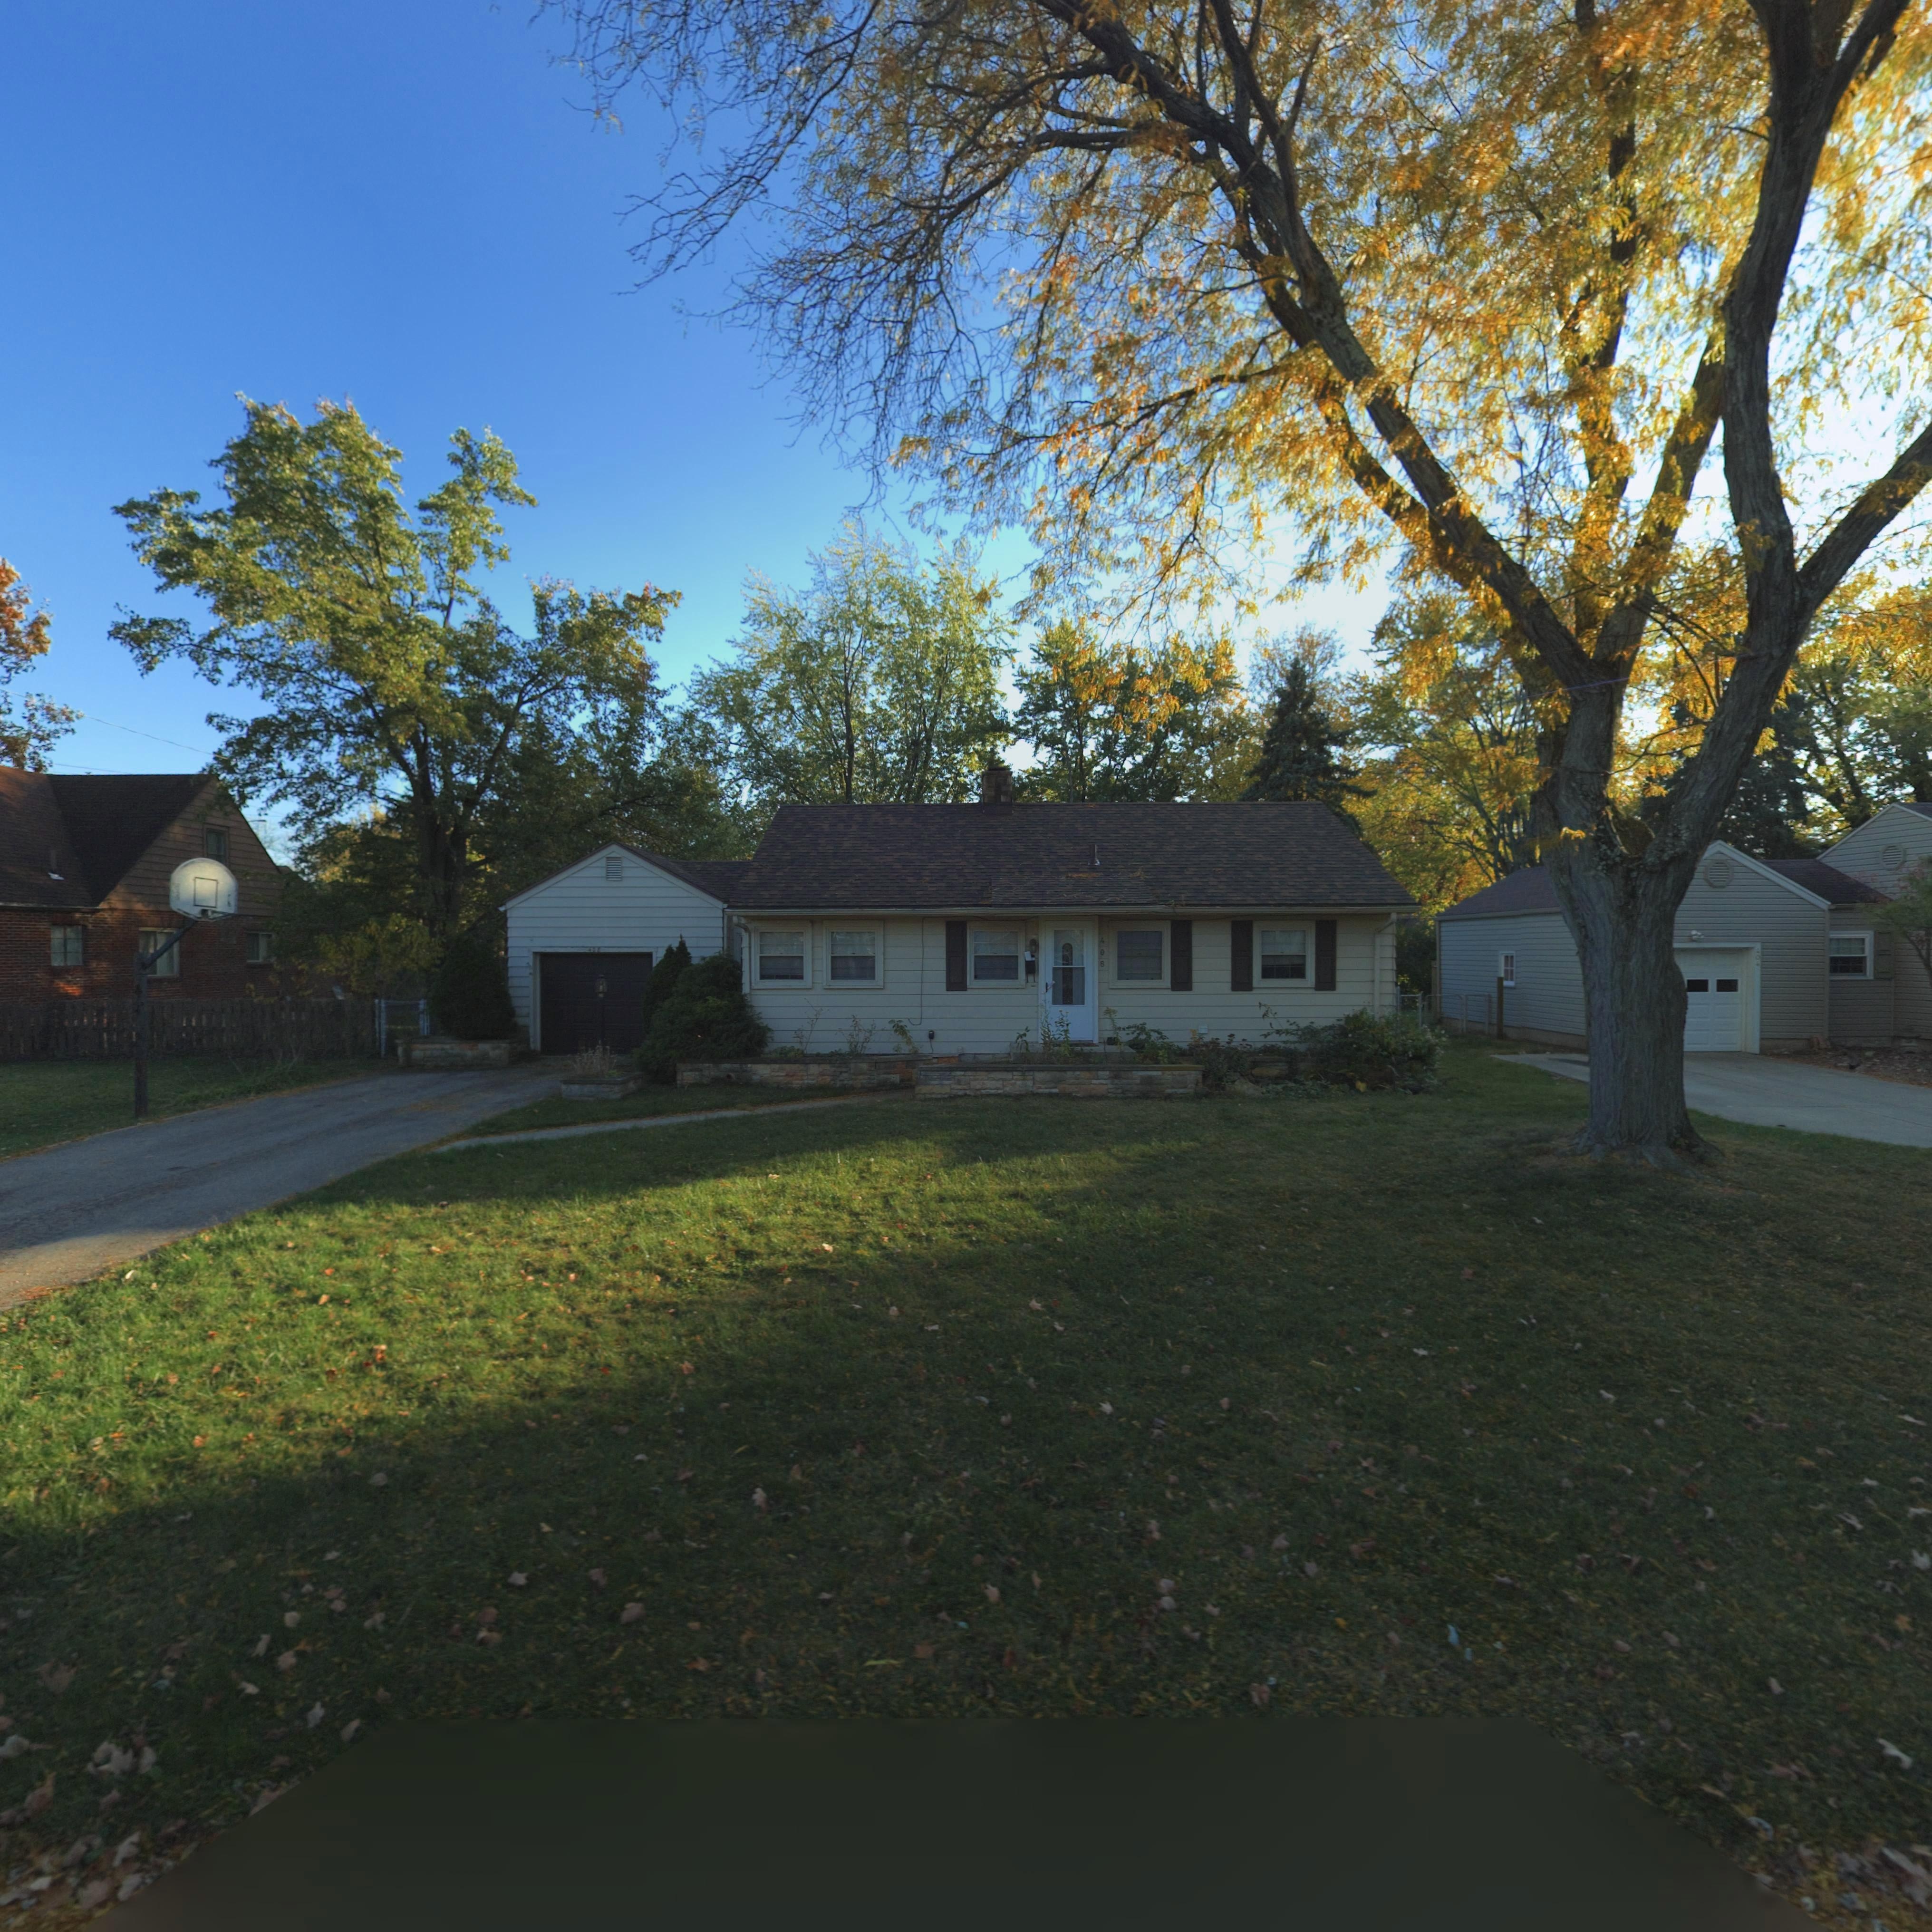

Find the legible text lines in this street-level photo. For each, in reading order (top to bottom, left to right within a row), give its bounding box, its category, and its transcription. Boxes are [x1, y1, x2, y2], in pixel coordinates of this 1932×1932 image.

[587, 947, 601, 952] StreetNumber: *08
[1100, 937, 1104, 967] StreetNumber: 408
[1755, 947, 1760, 966] StreetNumber: 404